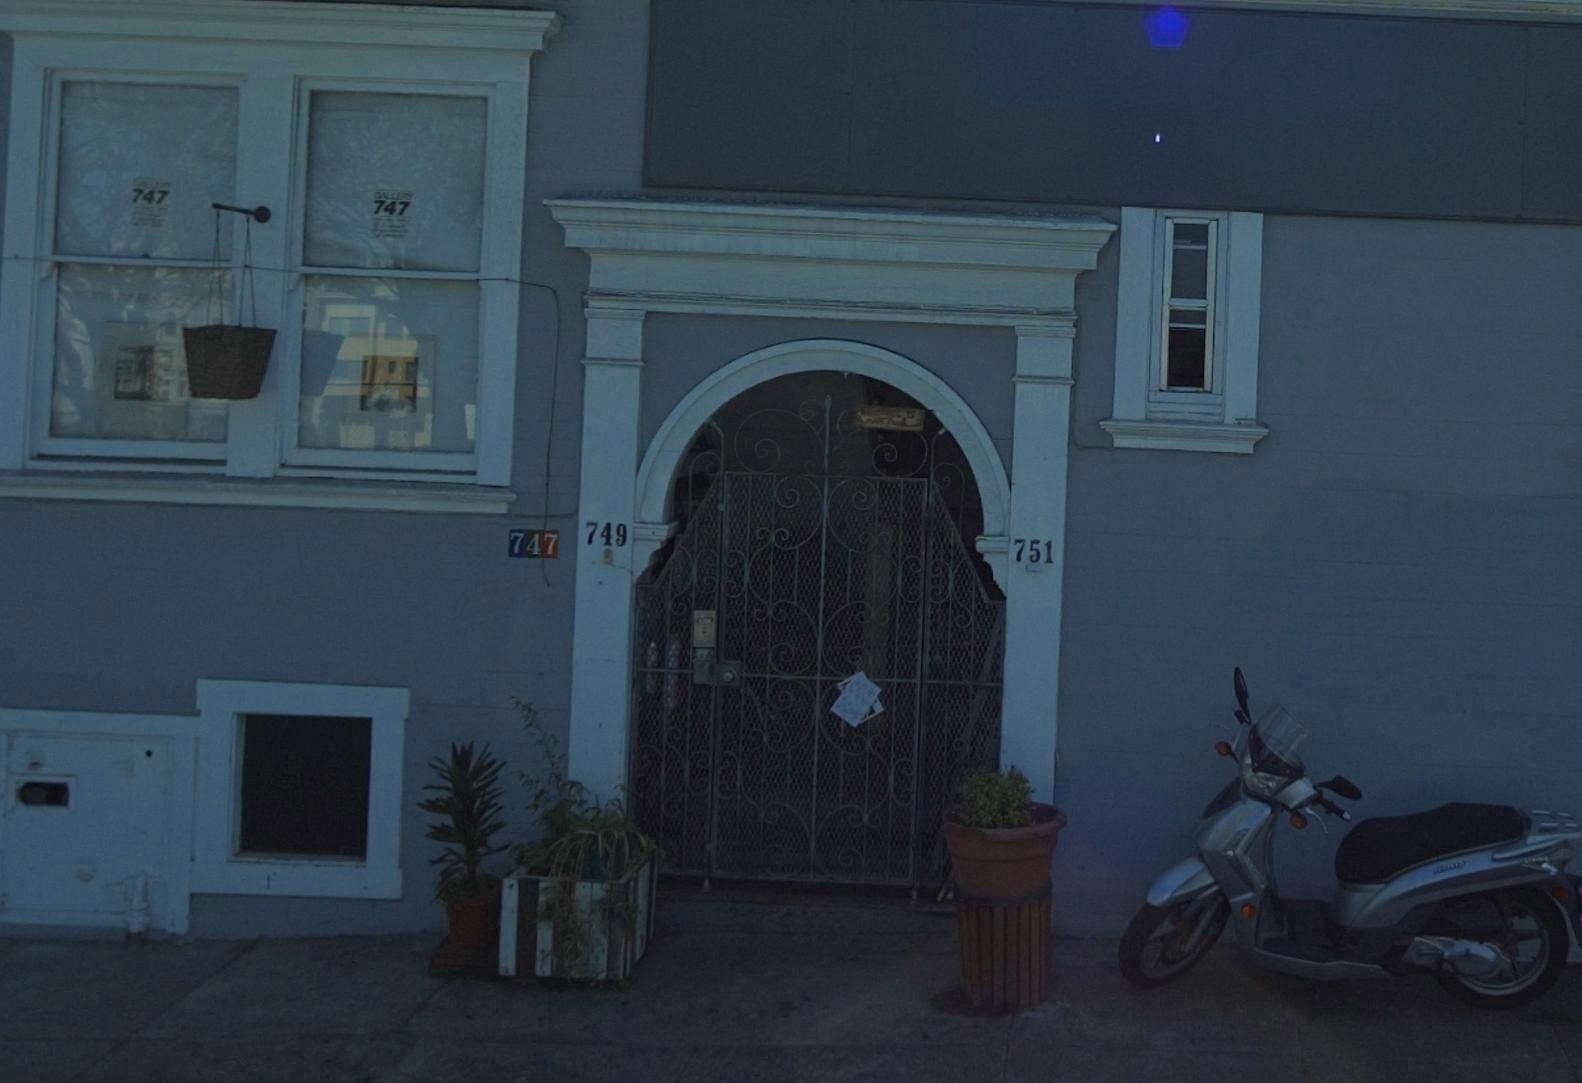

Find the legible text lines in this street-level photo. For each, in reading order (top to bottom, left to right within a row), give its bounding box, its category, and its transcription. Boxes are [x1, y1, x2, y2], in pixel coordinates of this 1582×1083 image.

[130, 187, 172, 206] StreetNumber: 747
[372, 198, 412, 217] StreetNumber: 747
[508, 531, 560, 557] StreetNumber: 747
[584, 520, 629, 549] StreetNumber: 749
[1012, 537, 1056, 566] StreetNumber: 751